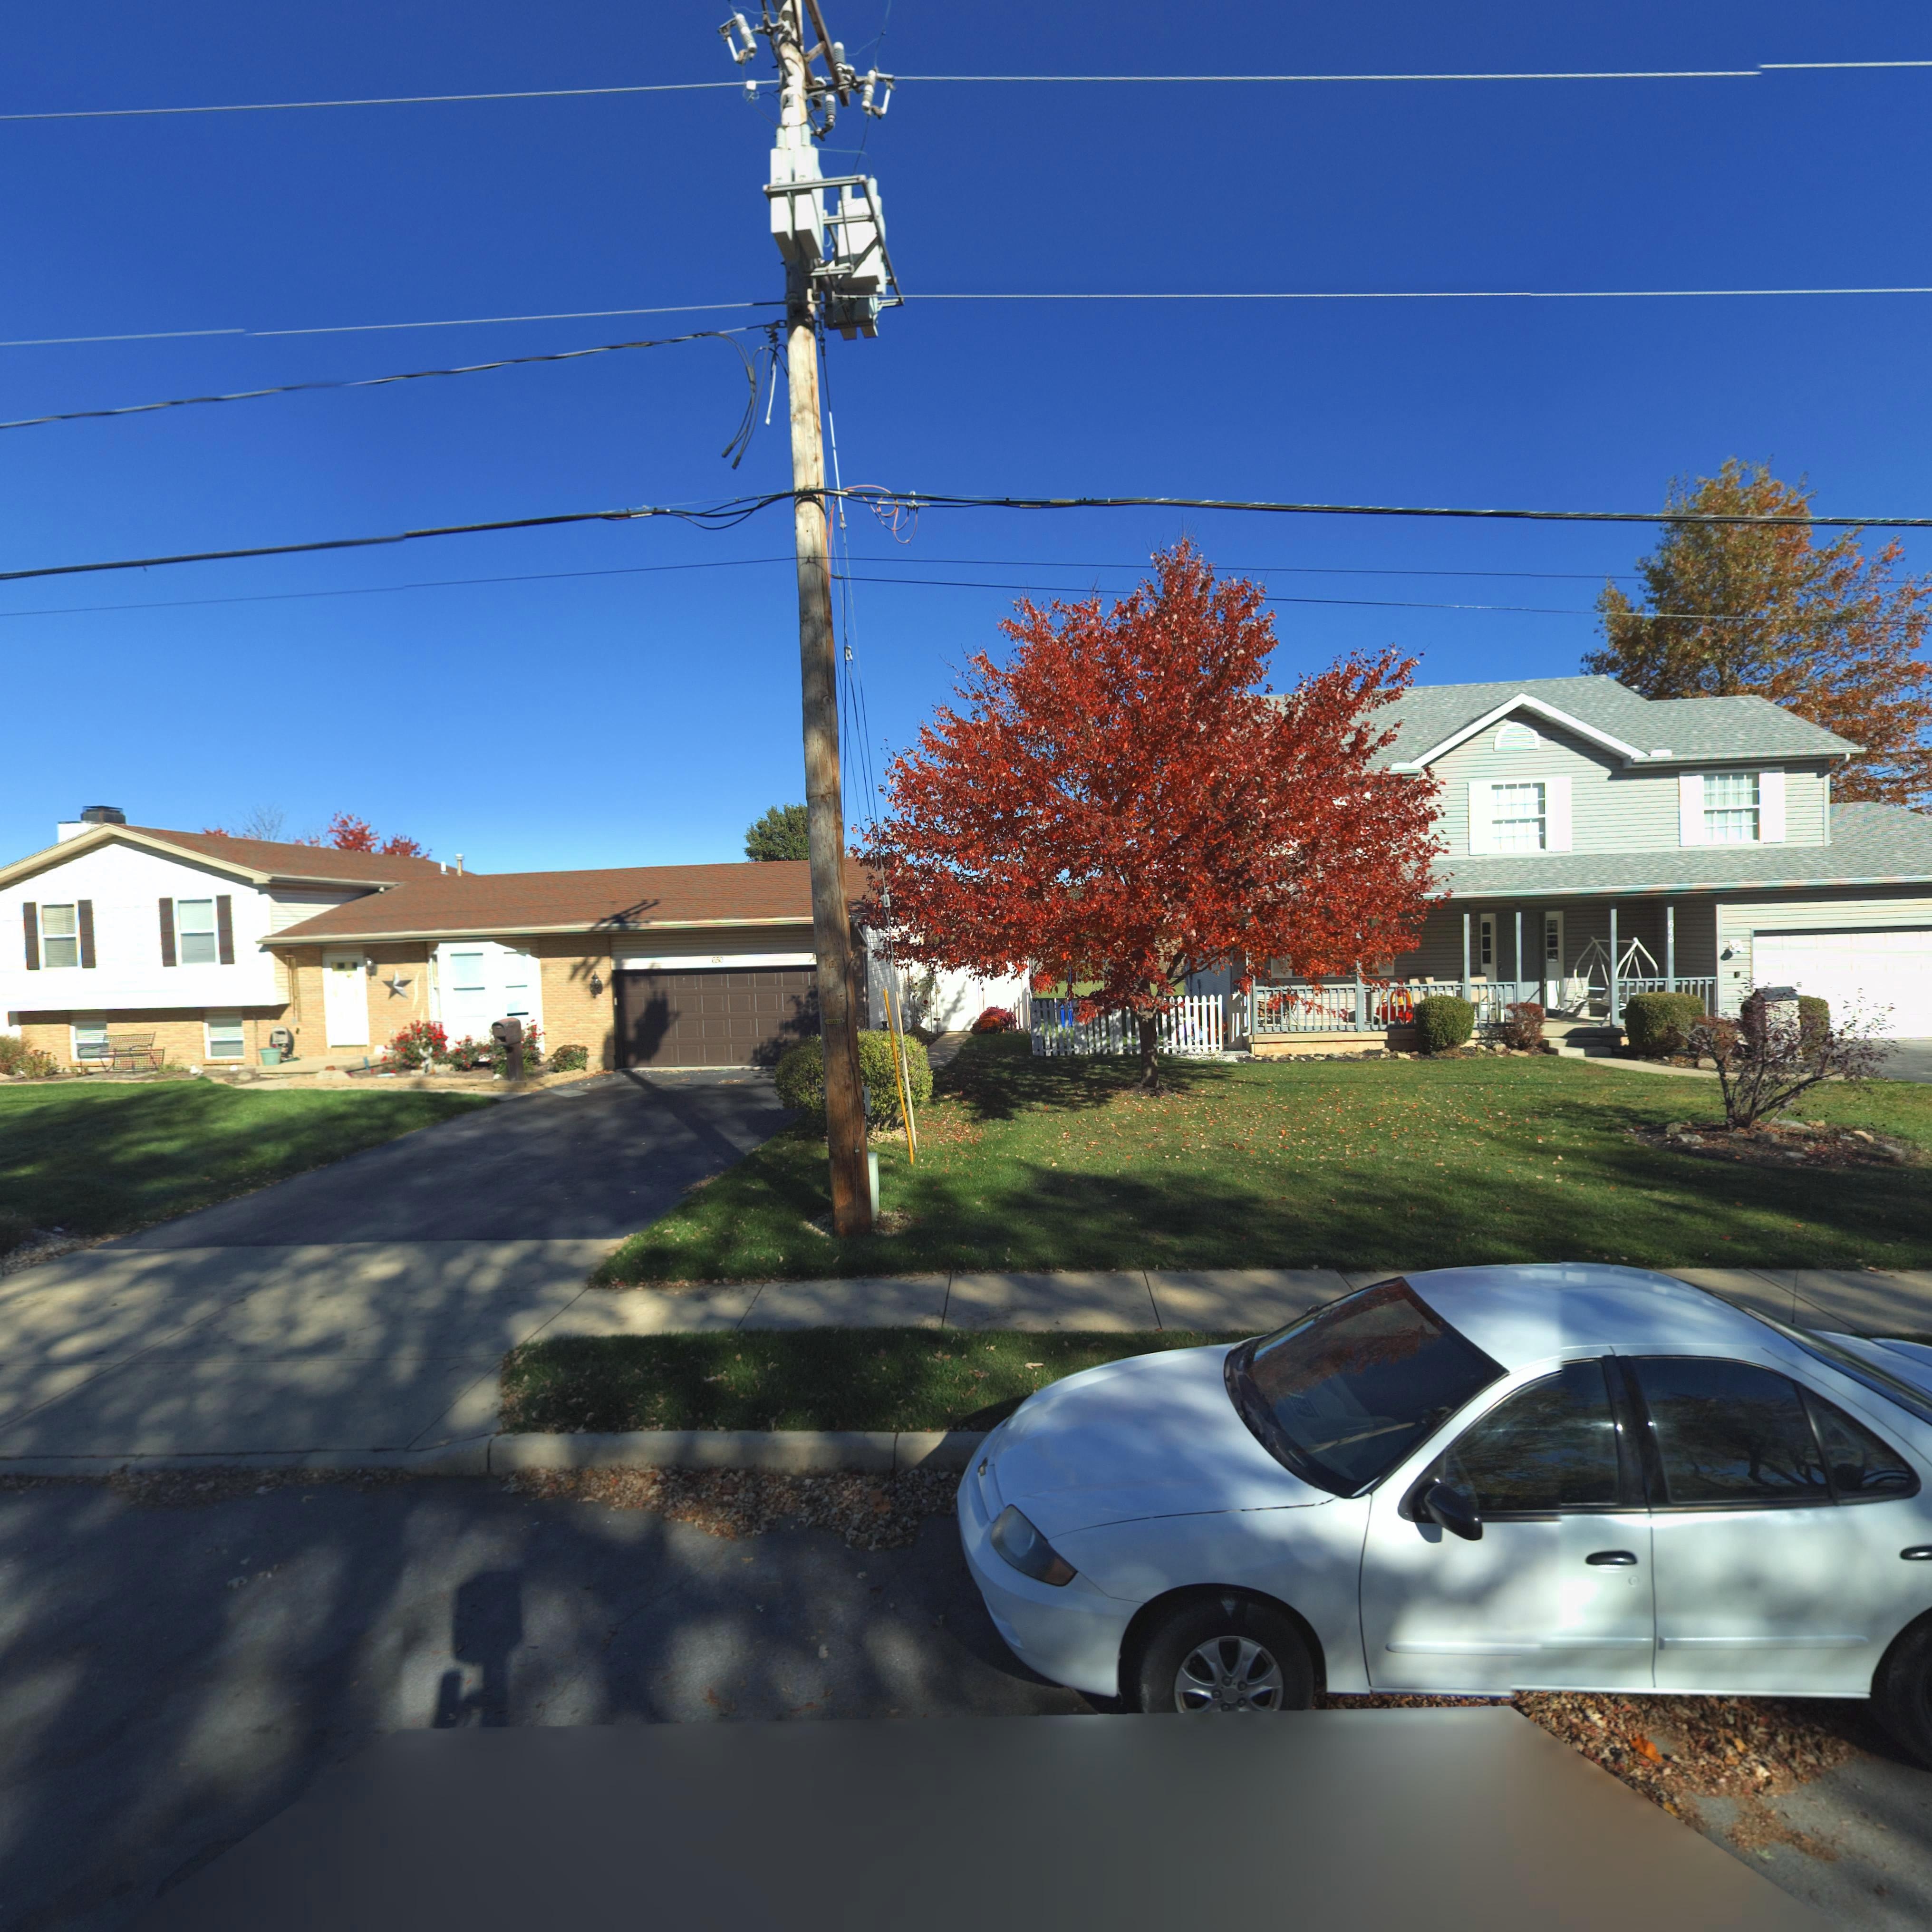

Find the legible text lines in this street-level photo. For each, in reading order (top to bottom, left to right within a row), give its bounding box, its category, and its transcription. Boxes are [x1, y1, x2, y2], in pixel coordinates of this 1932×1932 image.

[1667, 920, 1674, 943] StreetNumber: 648